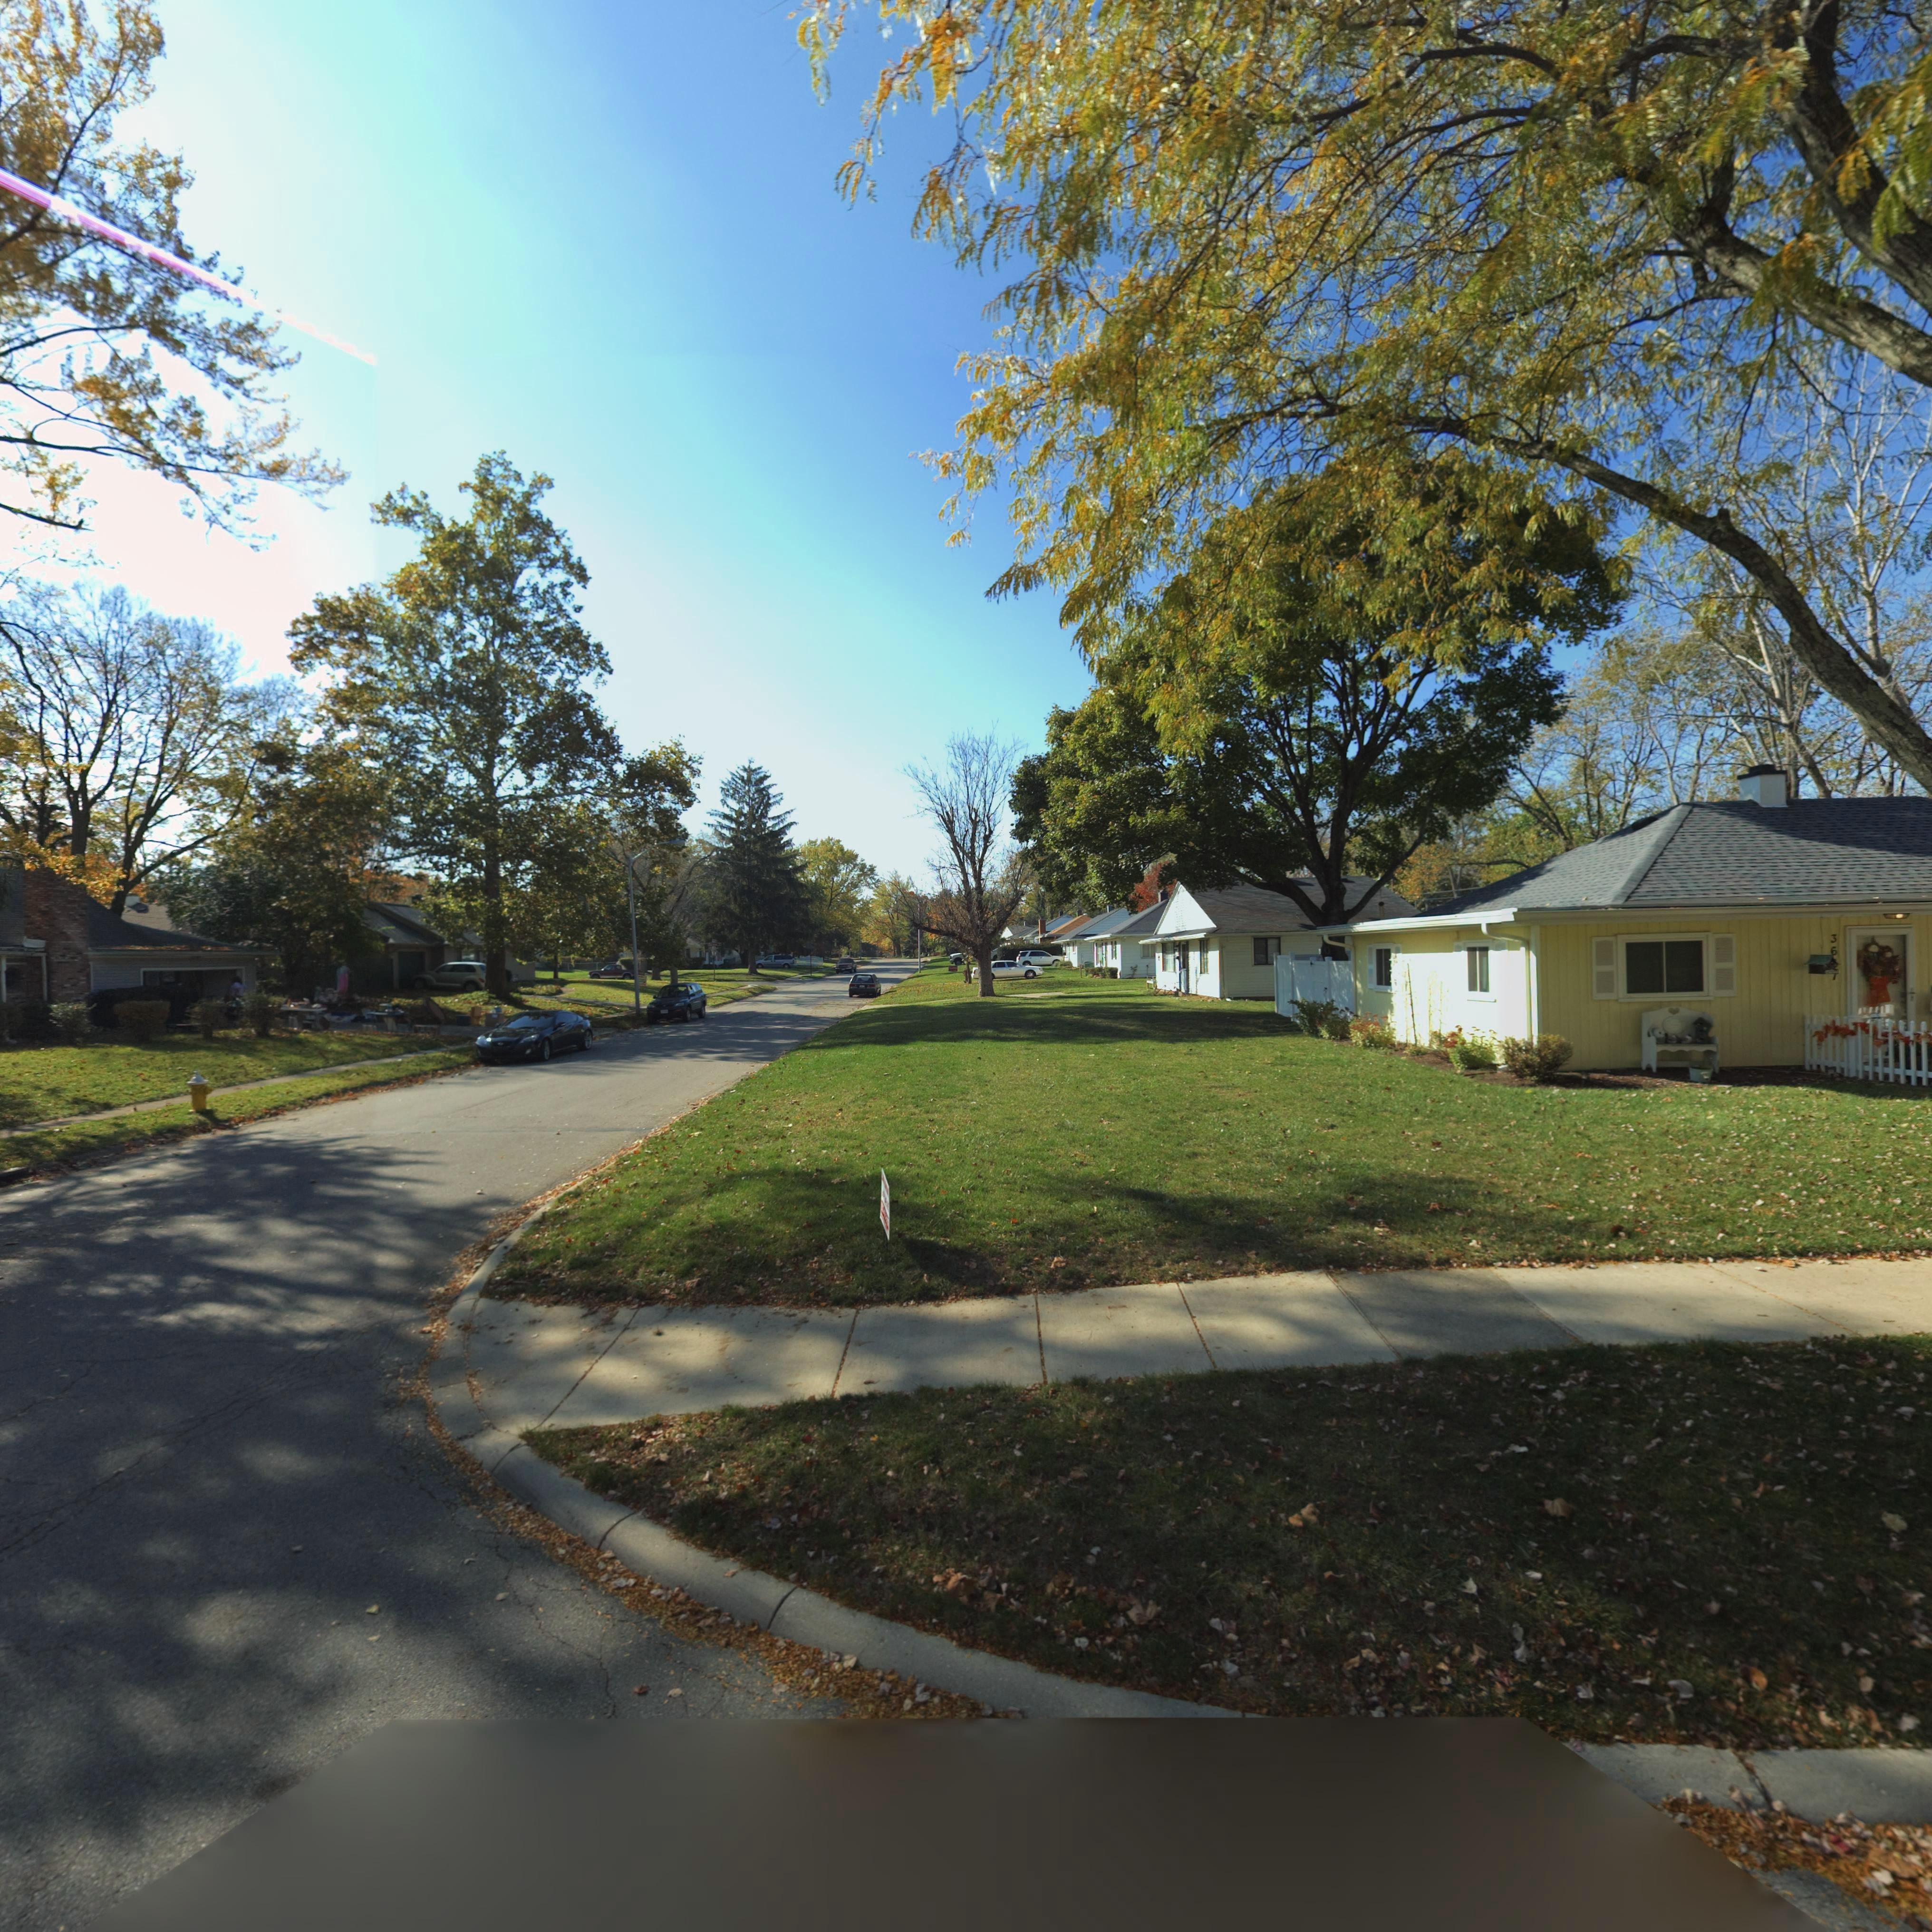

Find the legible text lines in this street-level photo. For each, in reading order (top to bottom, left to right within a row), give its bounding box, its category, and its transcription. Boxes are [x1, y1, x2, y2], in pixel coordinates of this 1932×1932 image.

[1830, 934, 1837, 956] StreetNumber: 36